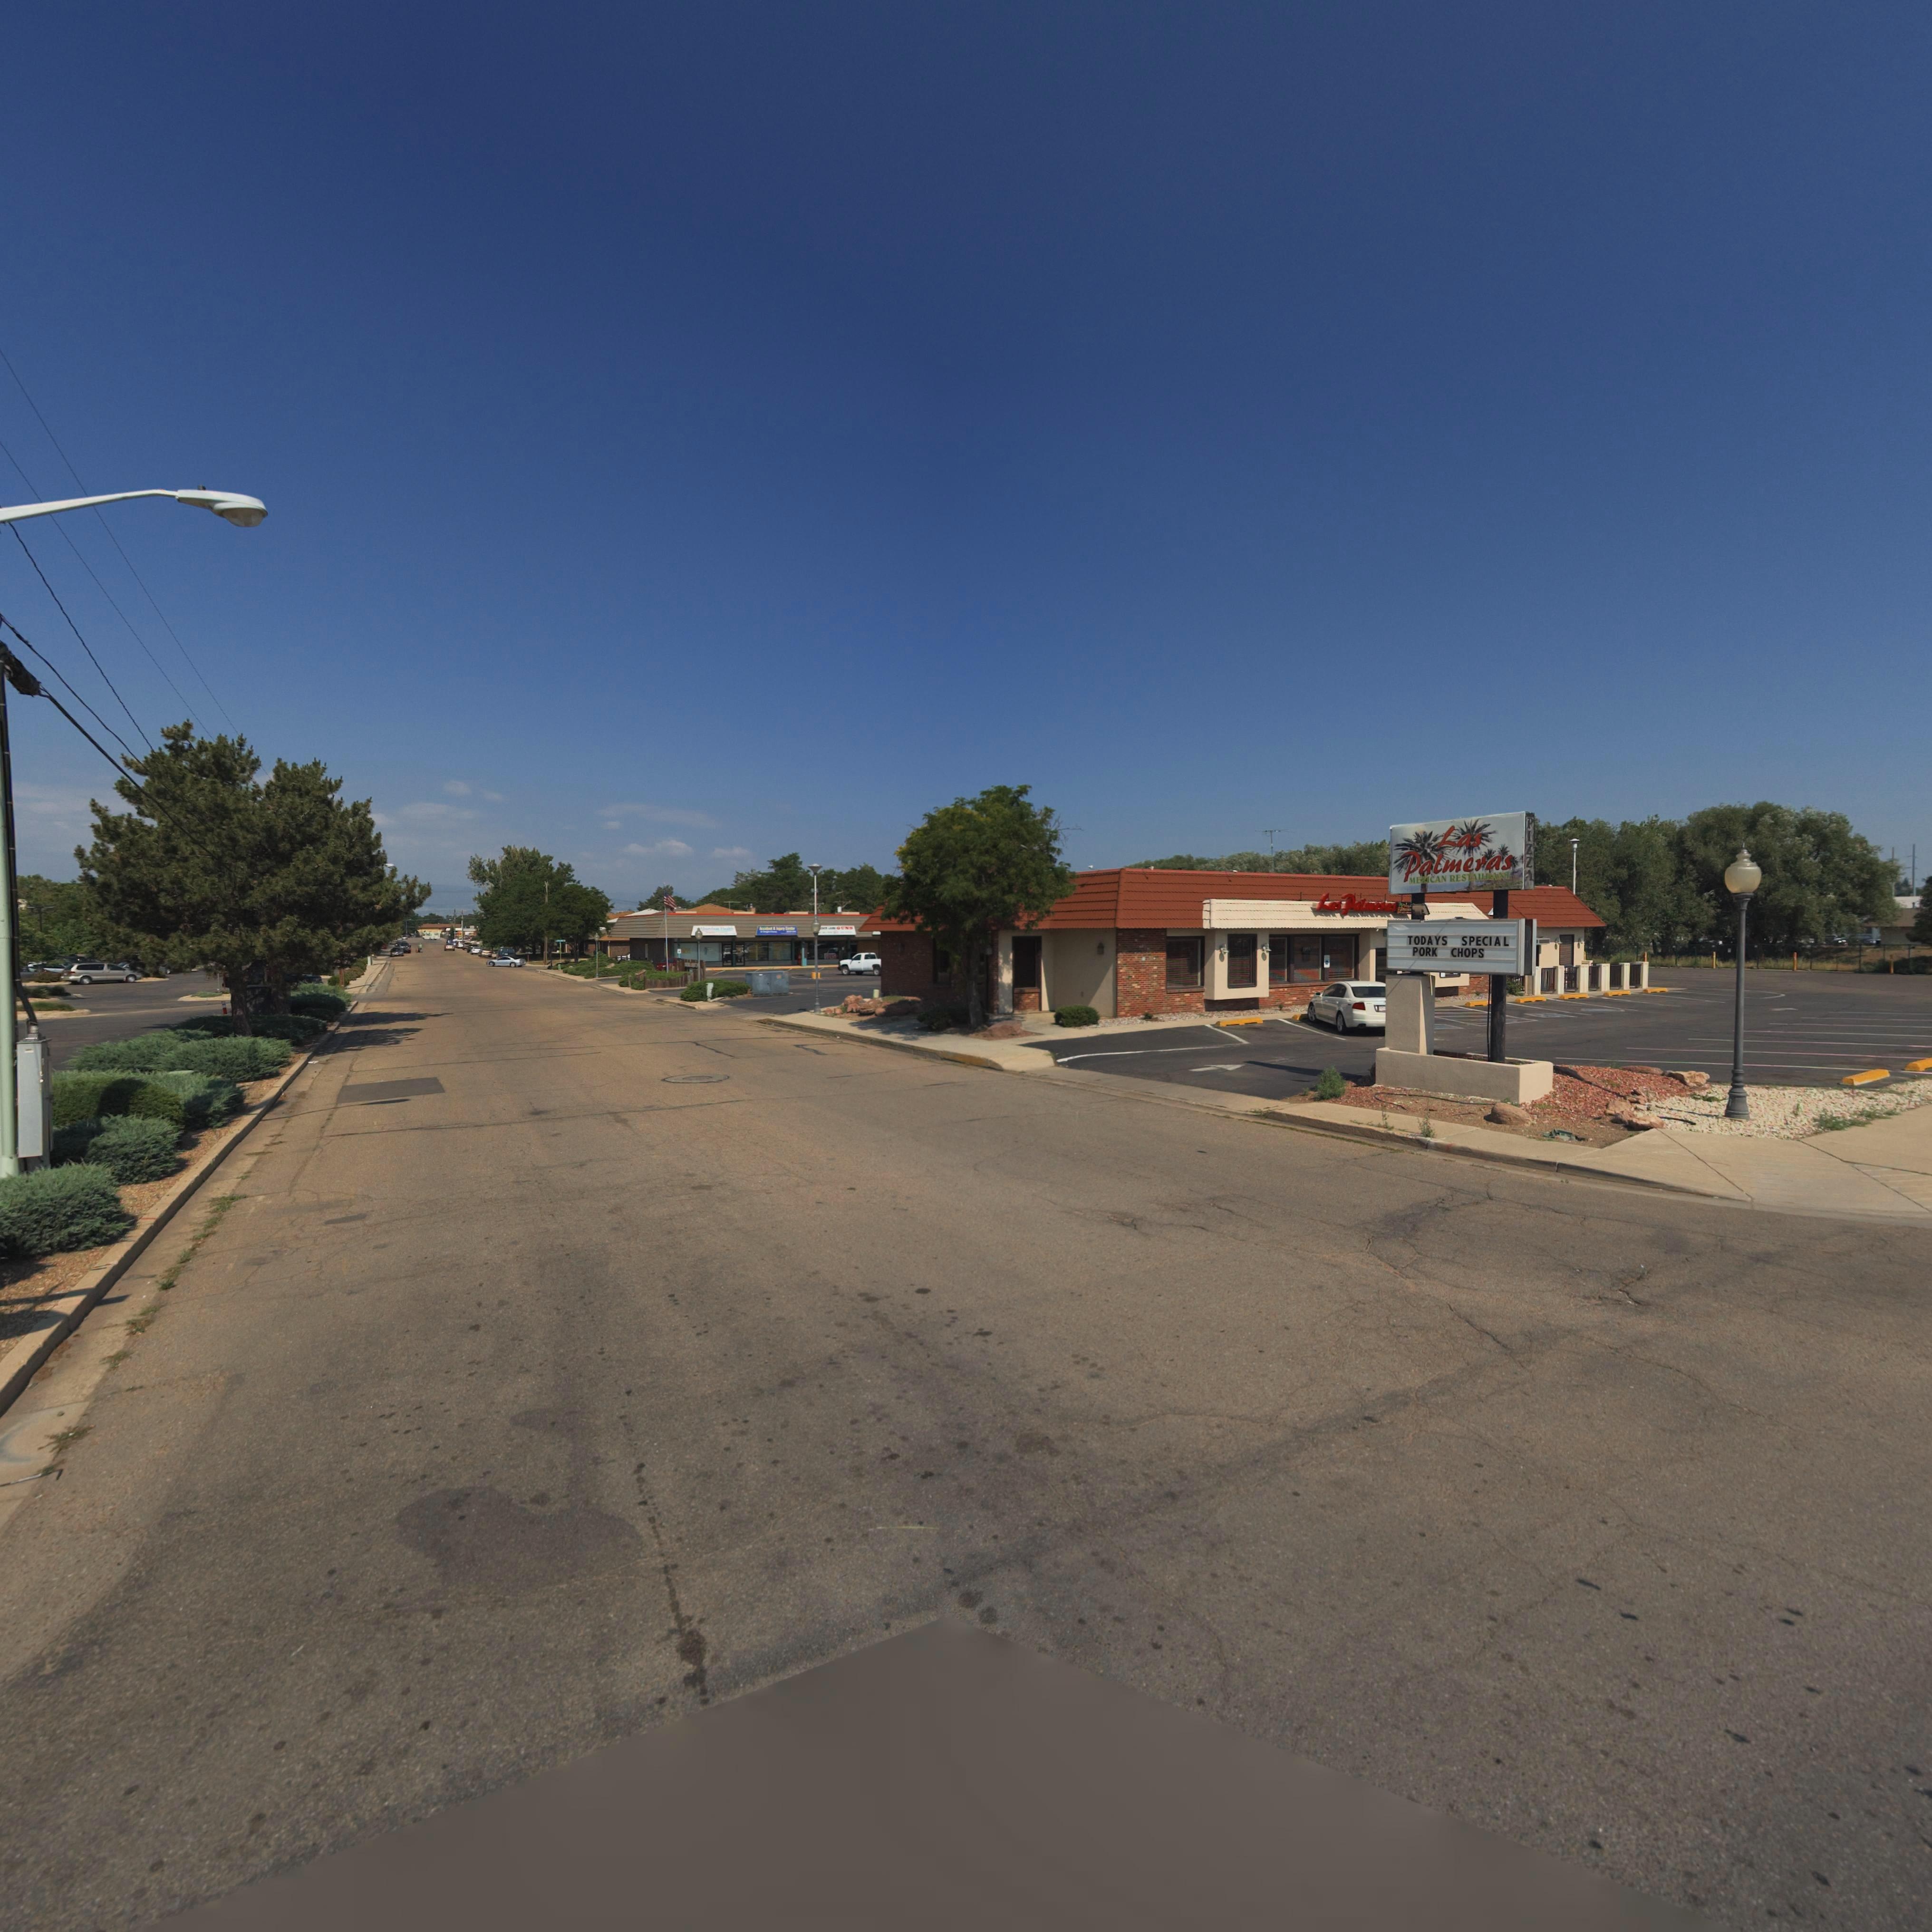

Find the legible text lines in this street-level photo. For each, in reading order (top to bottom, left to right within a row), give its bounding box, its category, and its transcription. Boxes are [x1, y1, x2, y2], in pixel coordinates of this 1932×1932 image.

[1436, 823, 1482, 849] BusinessName: Las
[1399, 850, 1512, 882] BusinessName: Palmeras
[1315, 891, 1397, 916] BusinessName: Las Pal*e*as